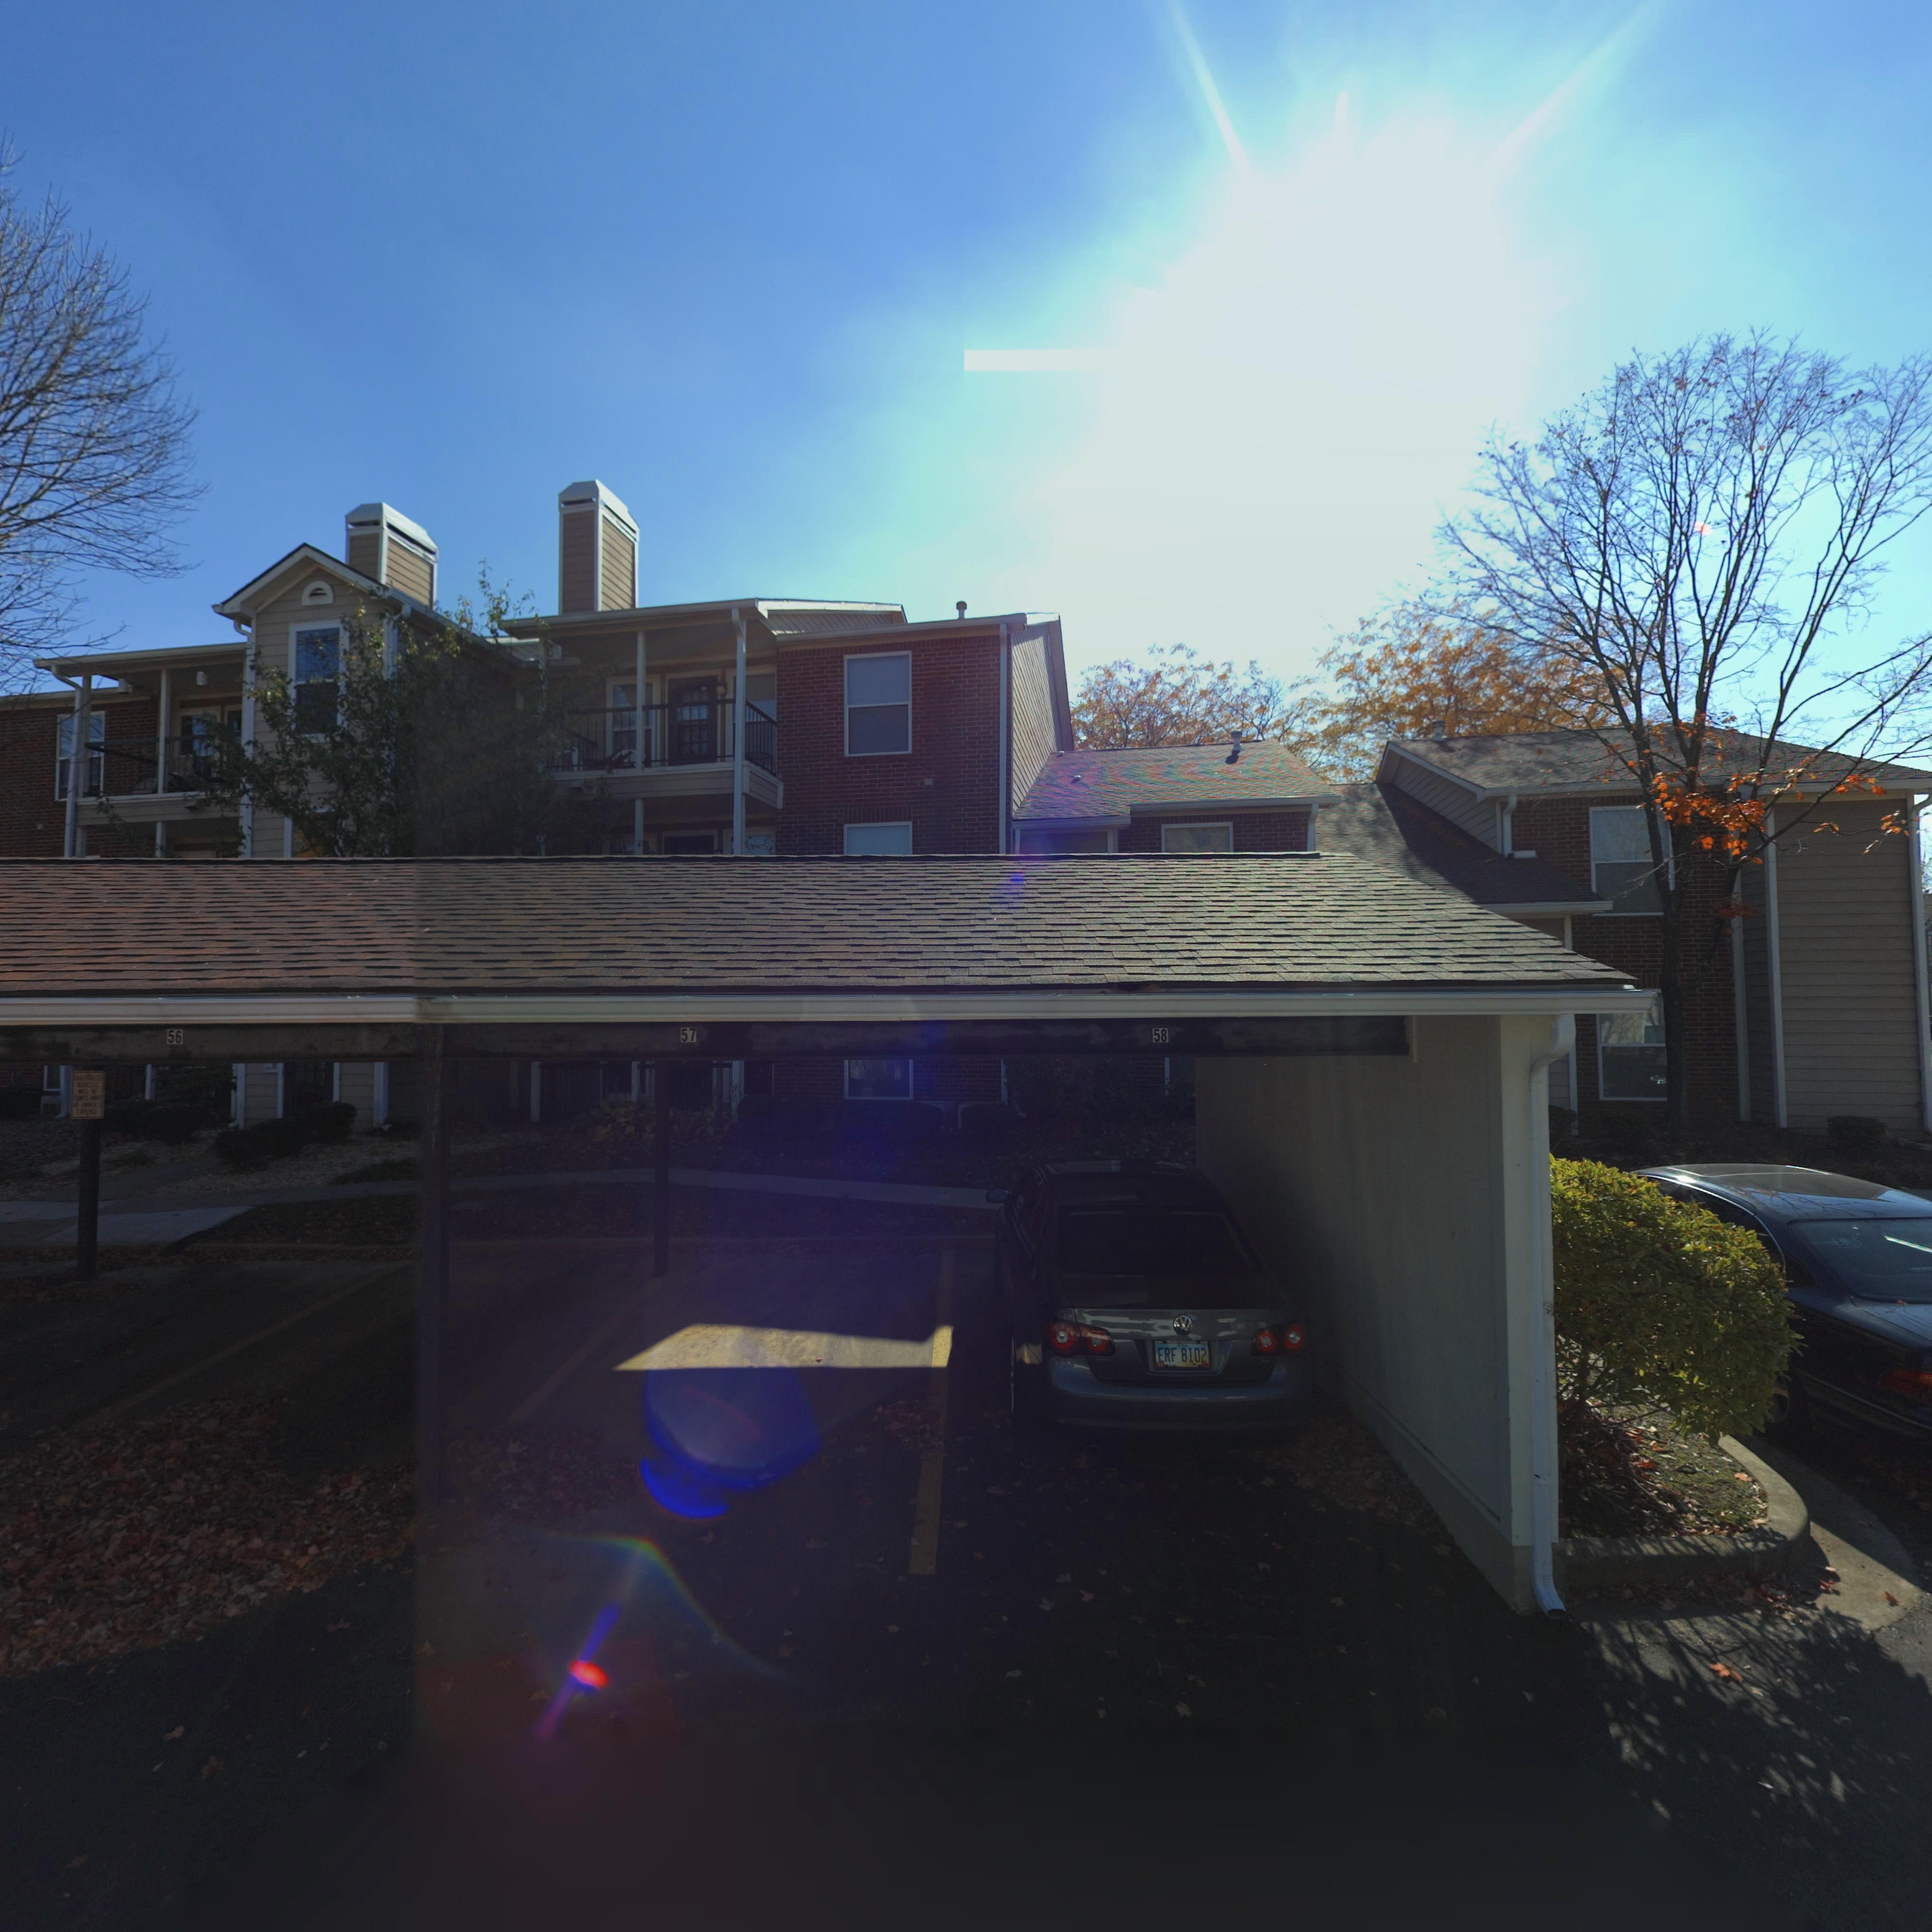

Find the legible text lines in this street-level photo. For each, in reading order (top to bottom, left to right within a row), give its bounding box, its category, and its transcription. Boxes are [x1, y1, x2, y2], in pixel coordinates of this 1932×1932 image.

[166, 1028, 184, 1045] StreetNumber: 56
[680, 1027, 697, 1043] StreetNumber: 57
[1152, 1028, 1168, 1043] StreetNumber: 58
[1157, 1346, 1208, 1364] None: ERF 8102